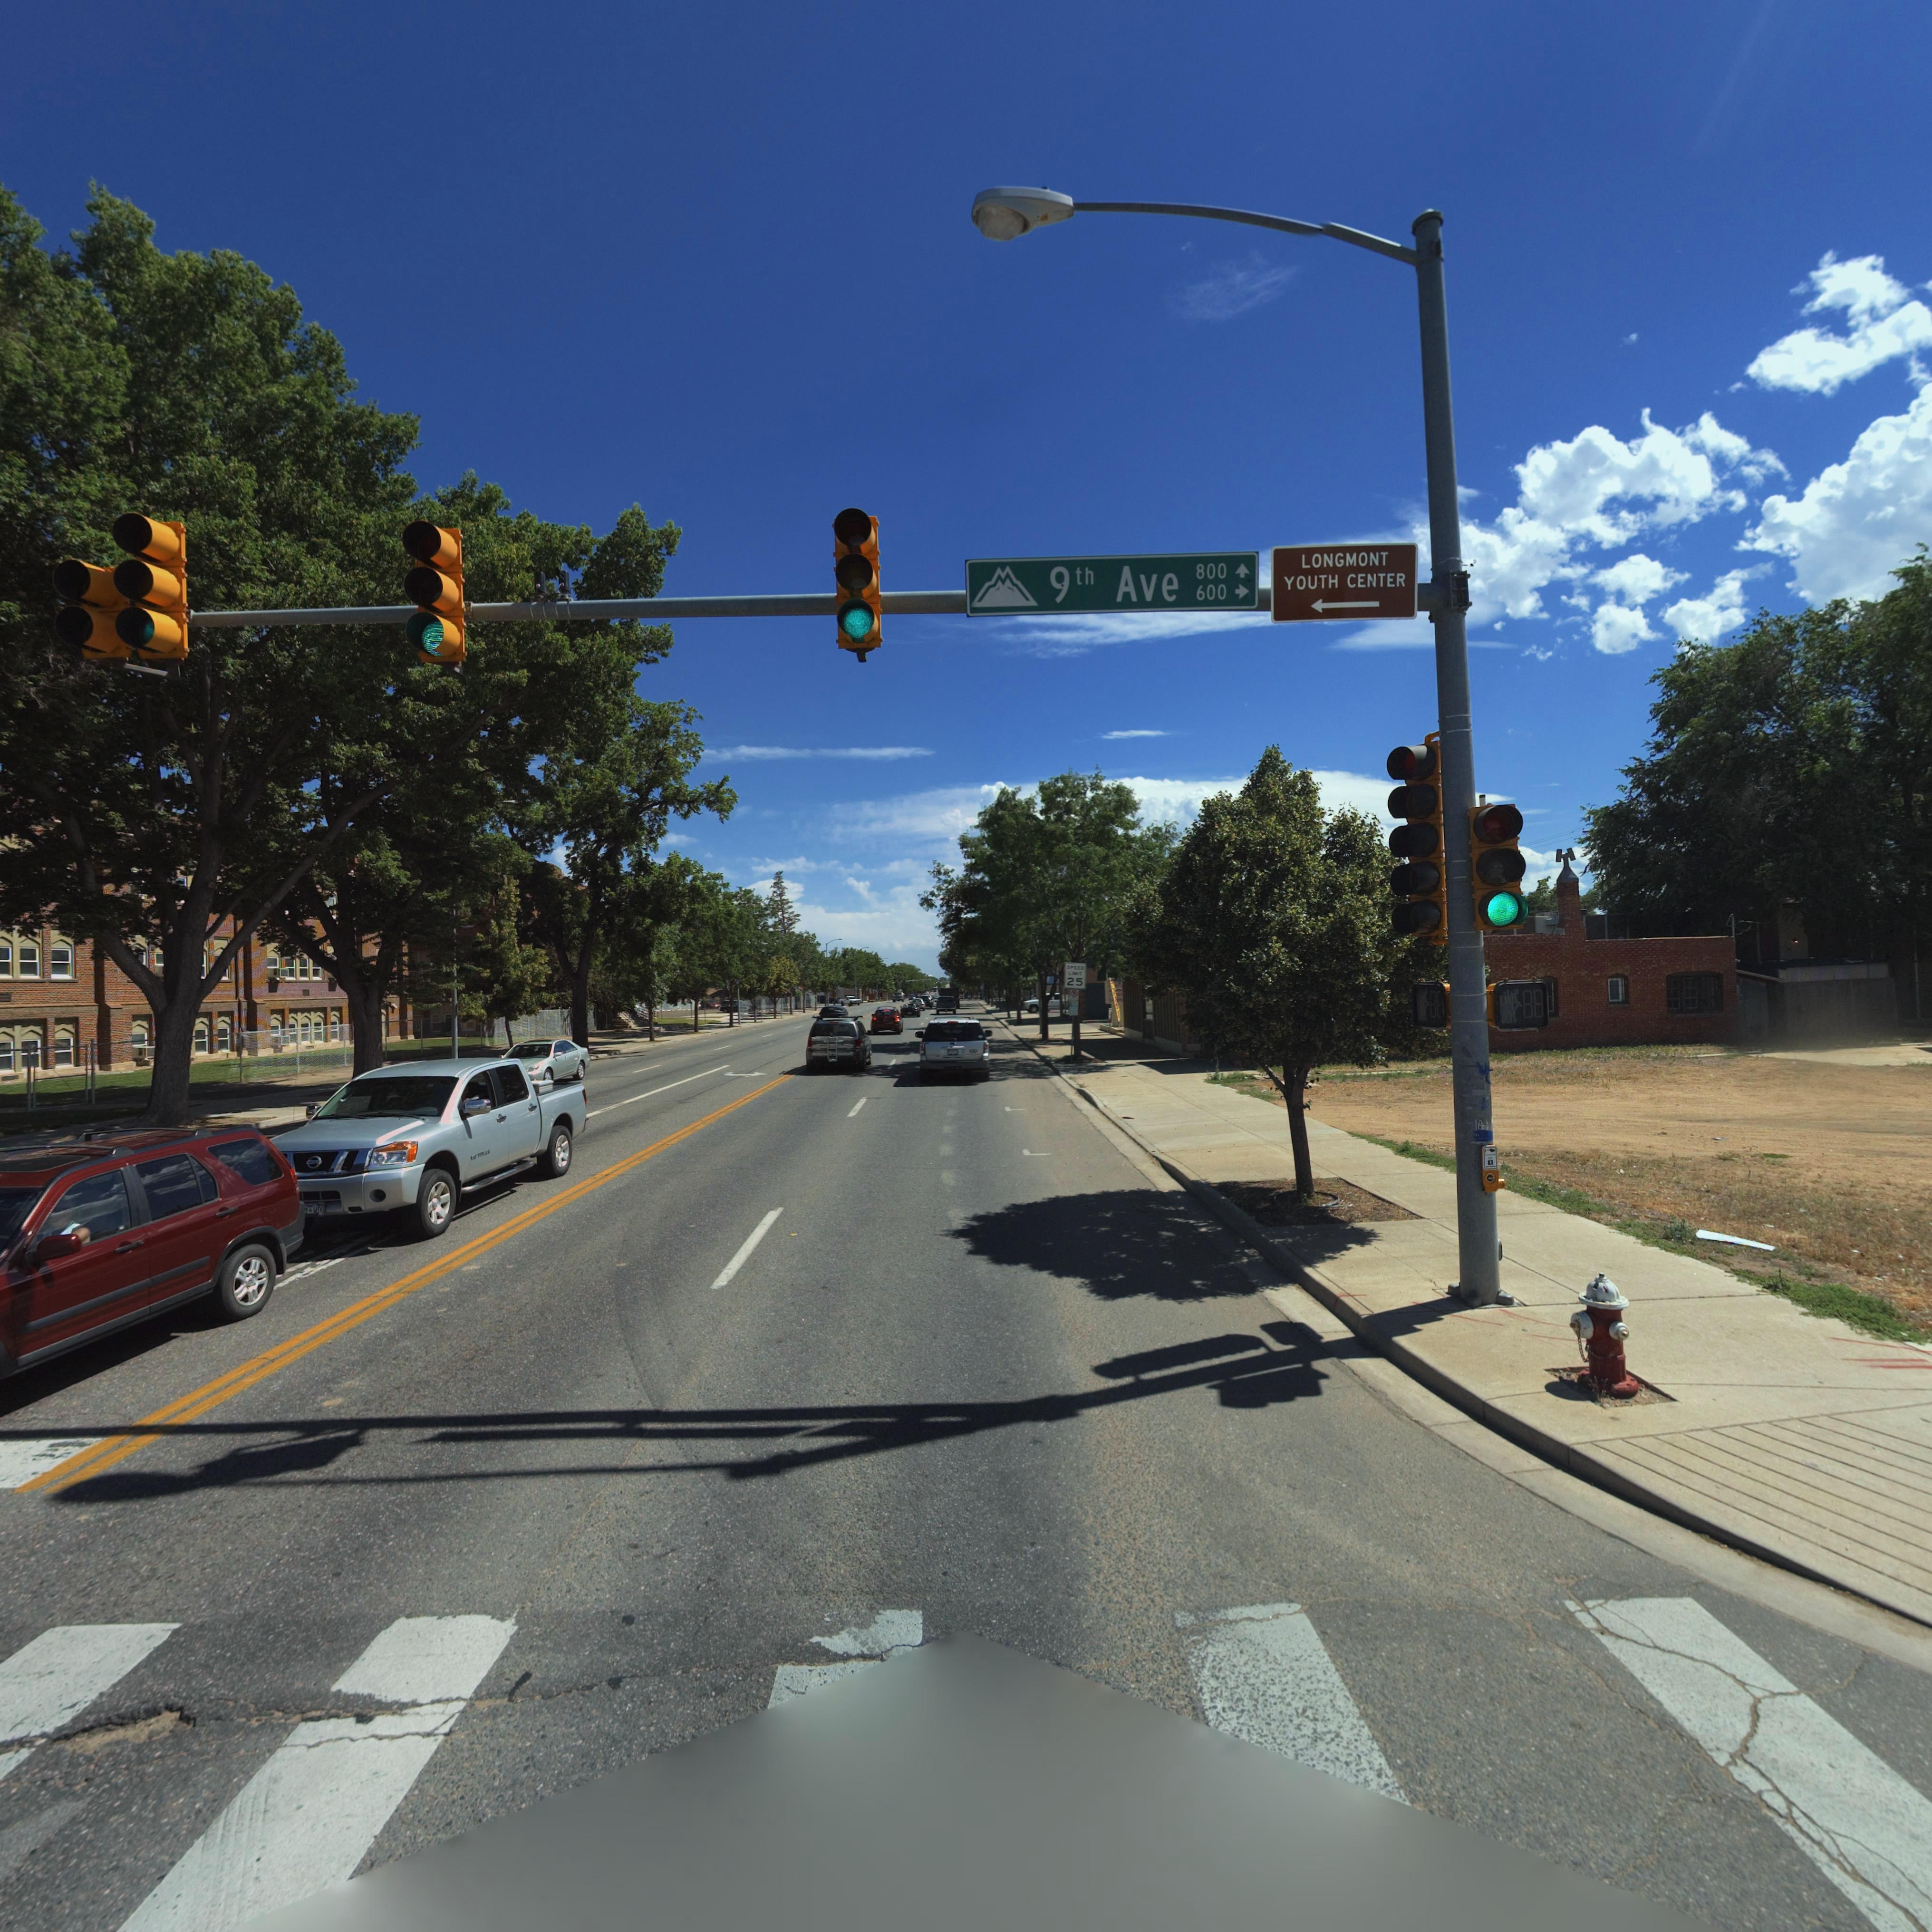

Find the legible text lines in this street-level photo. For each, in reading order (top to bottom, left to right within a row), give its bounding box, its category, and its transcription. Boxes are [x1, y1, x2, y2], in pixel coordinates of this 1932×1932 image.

[1196, 562, 1227, 580] StreetNumberRange: 800
[1048, 564, 1179, 605] StreetName: 9th Ave
[1196, 583, 1250, 601] StreetNumberRange: 600->